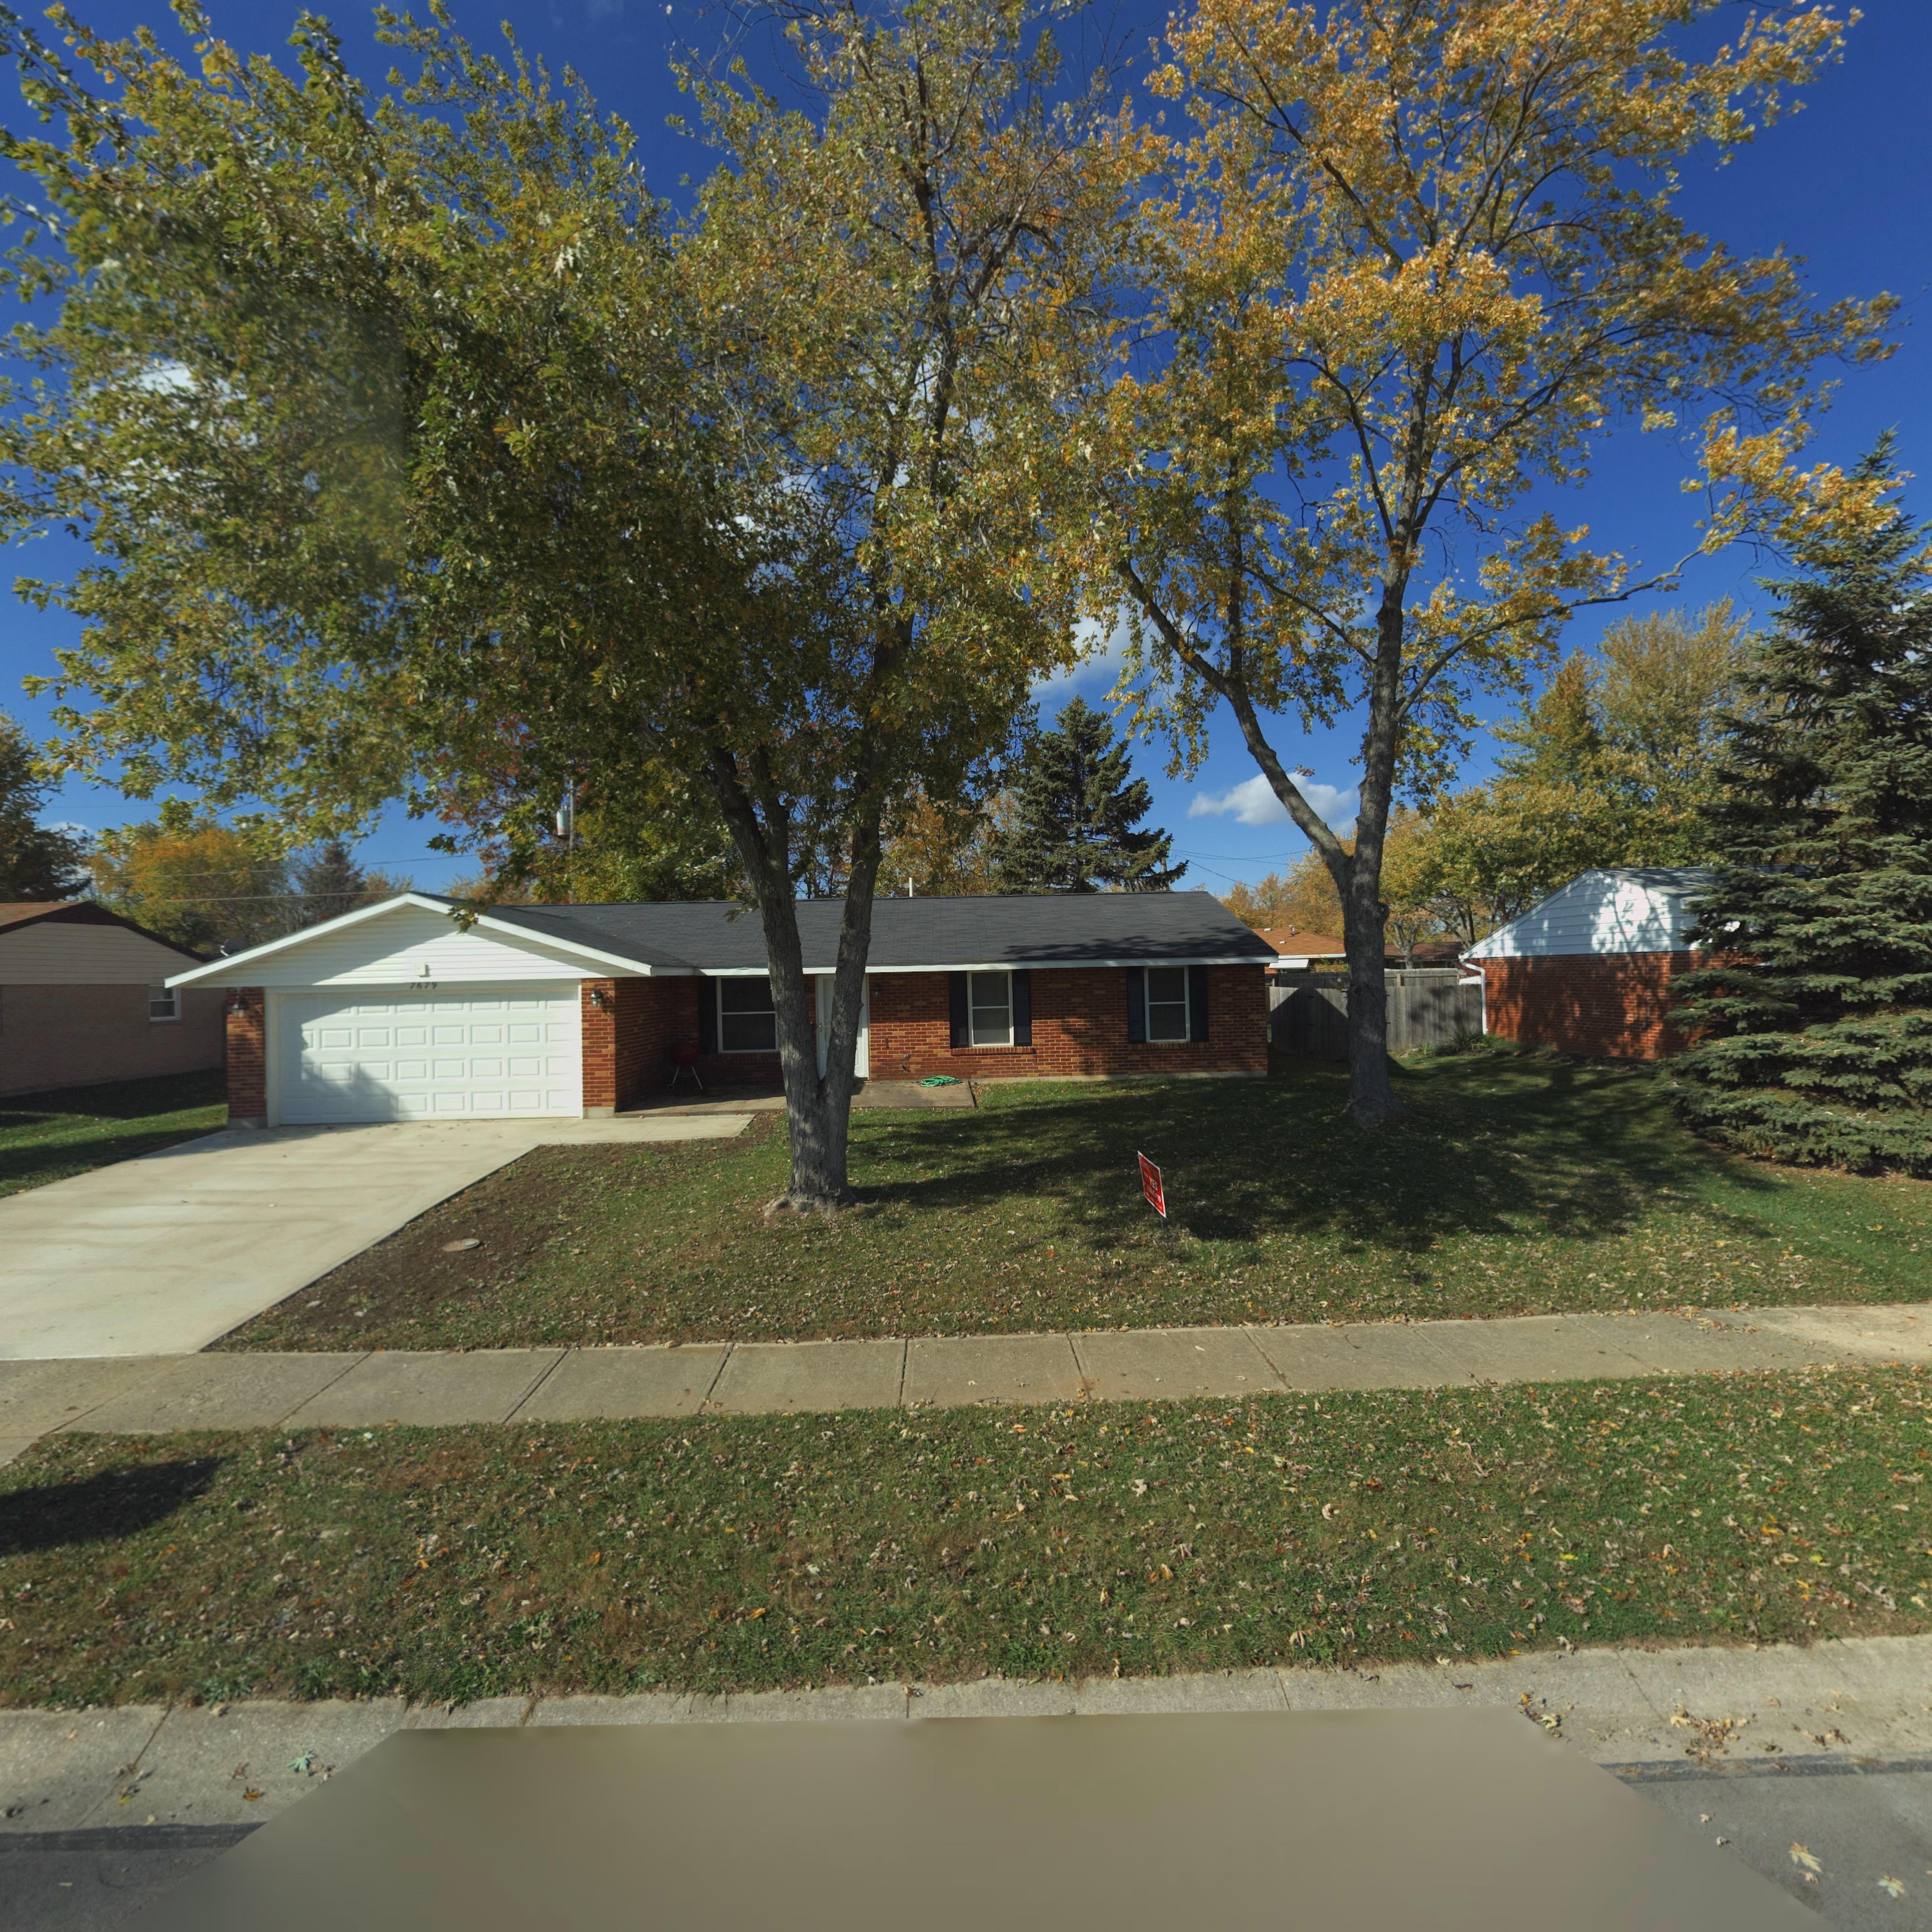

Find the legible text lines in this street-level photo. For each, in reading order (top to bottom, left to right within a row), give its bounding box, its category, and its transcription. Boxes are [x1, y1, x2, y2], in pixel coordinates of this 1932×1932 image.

[408, 981, 439, 990] StreetNumber: *6**